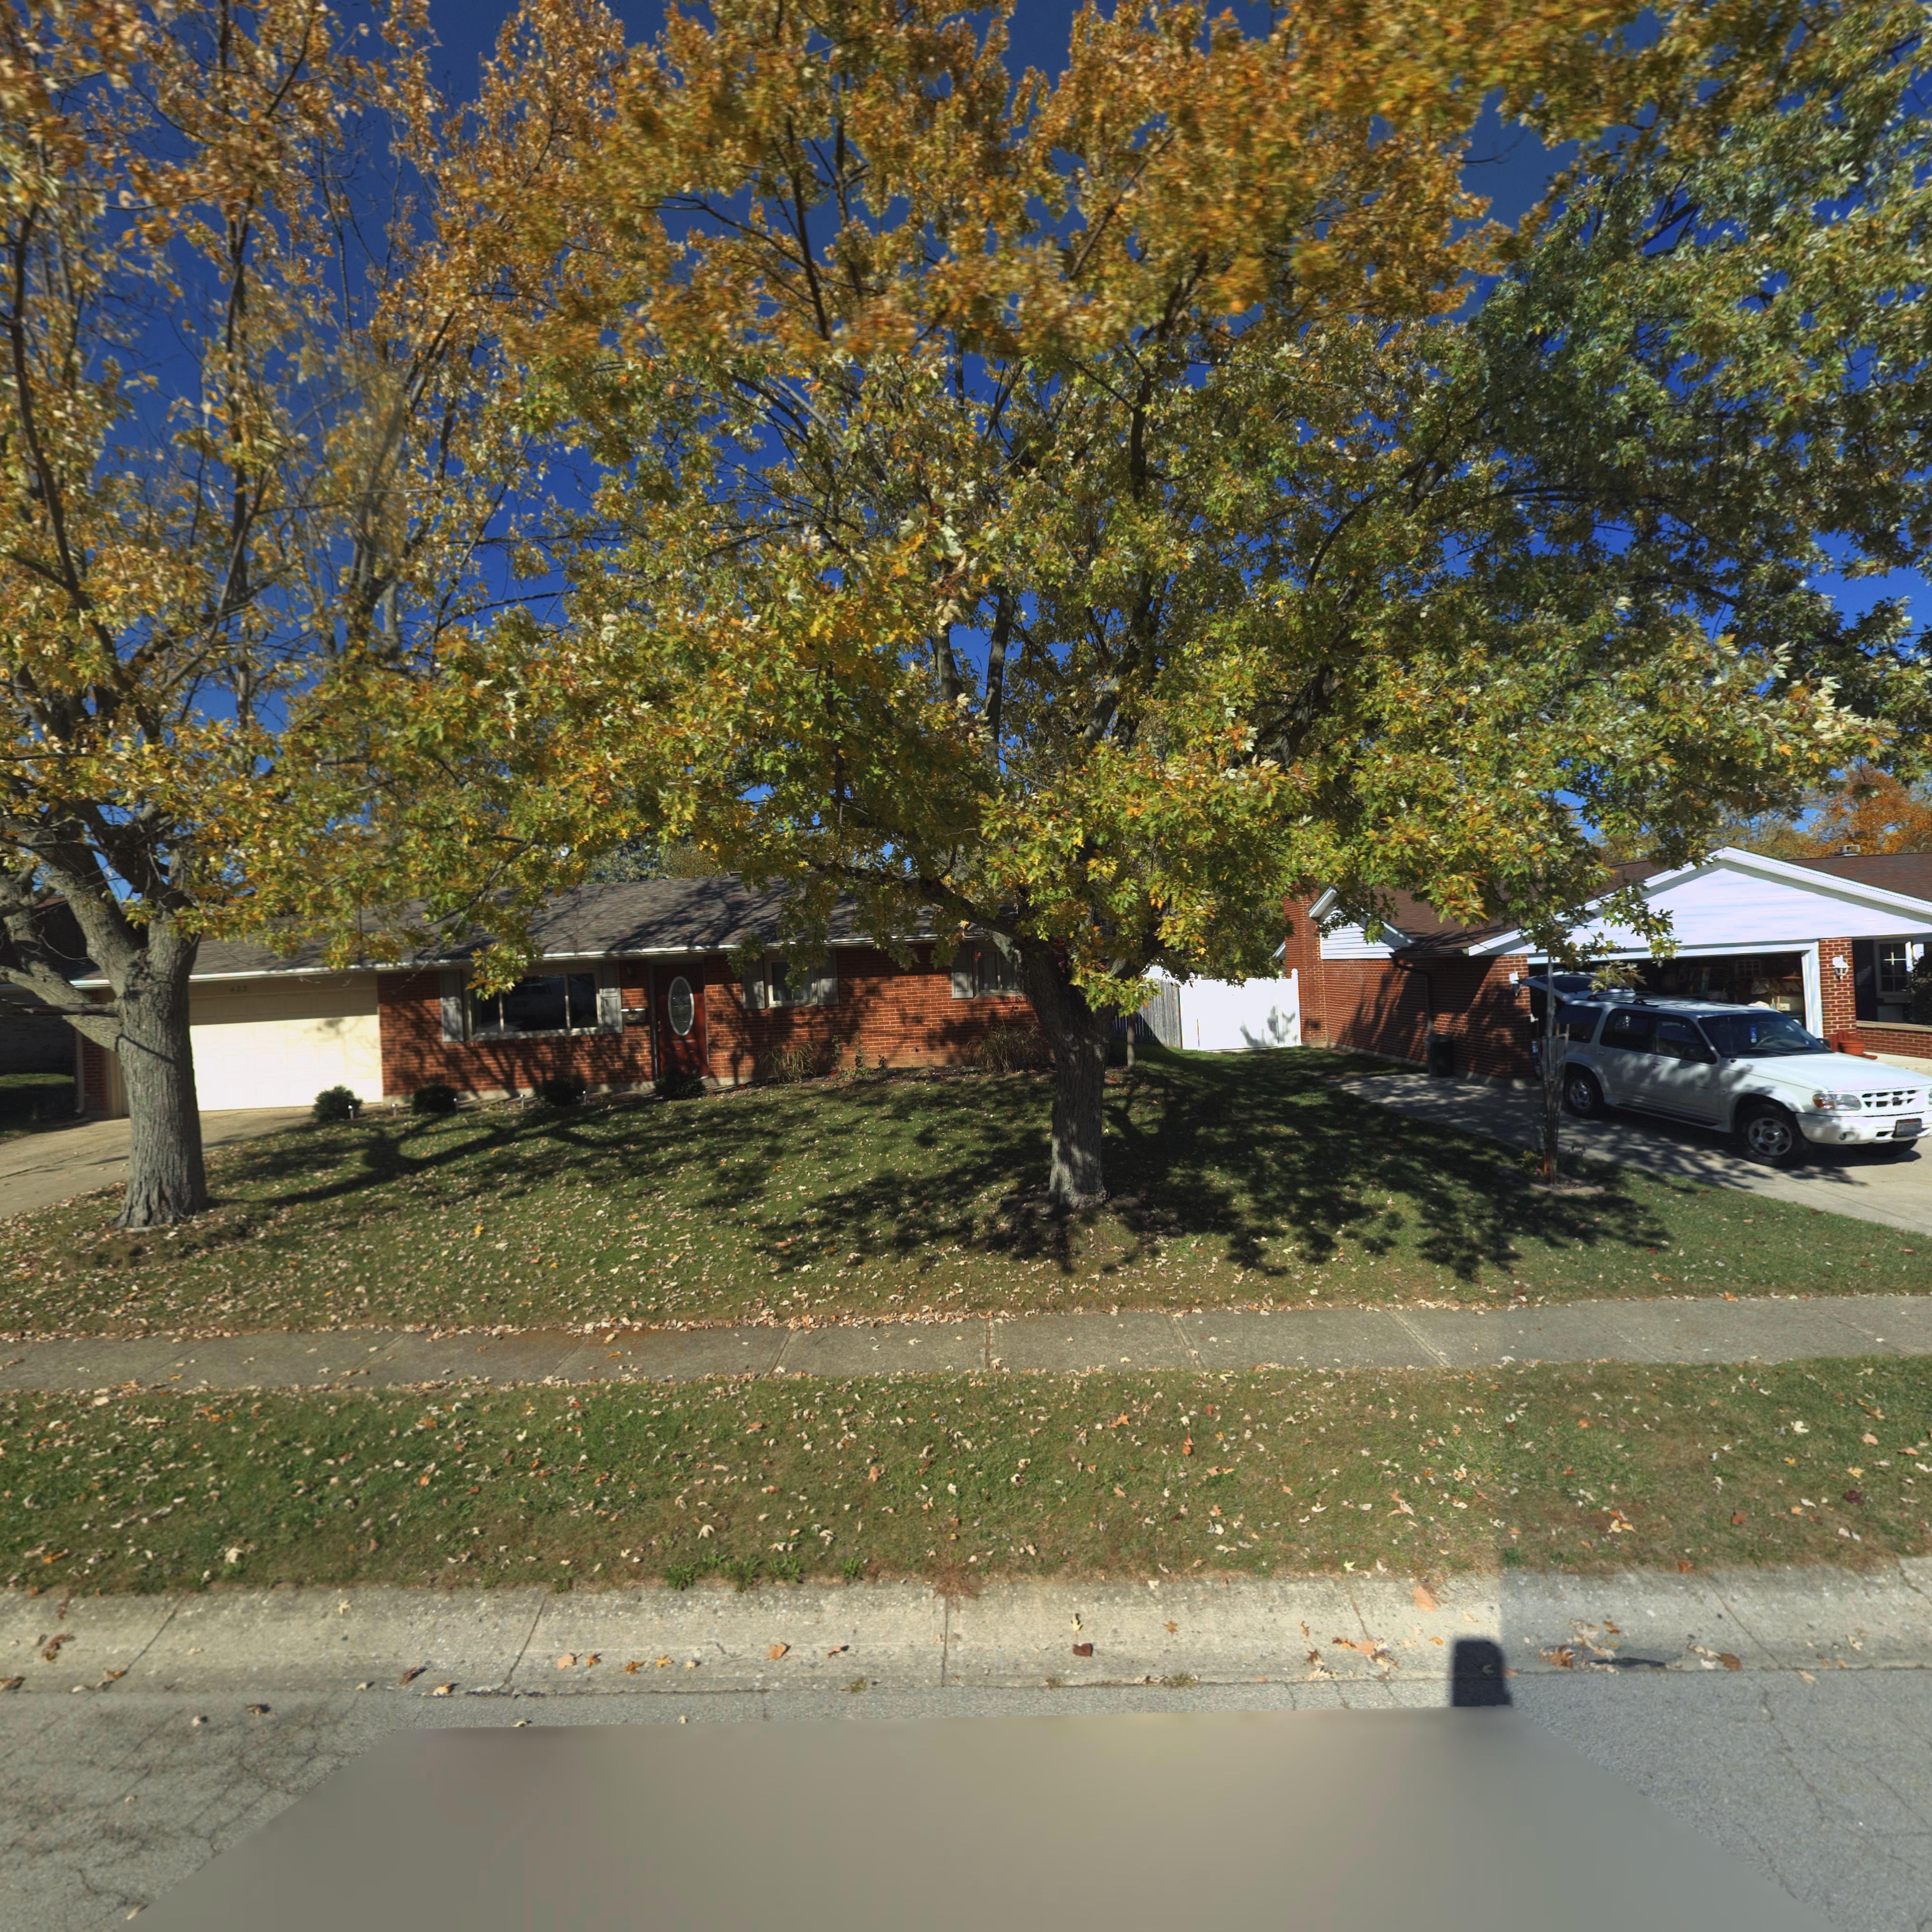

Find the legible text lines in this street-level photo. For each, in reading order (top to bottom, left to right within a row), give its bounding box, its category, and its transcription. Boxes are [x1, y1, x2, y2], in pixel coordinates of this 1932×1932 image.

[228, 984, 249, 994] StreetNumber: *2*